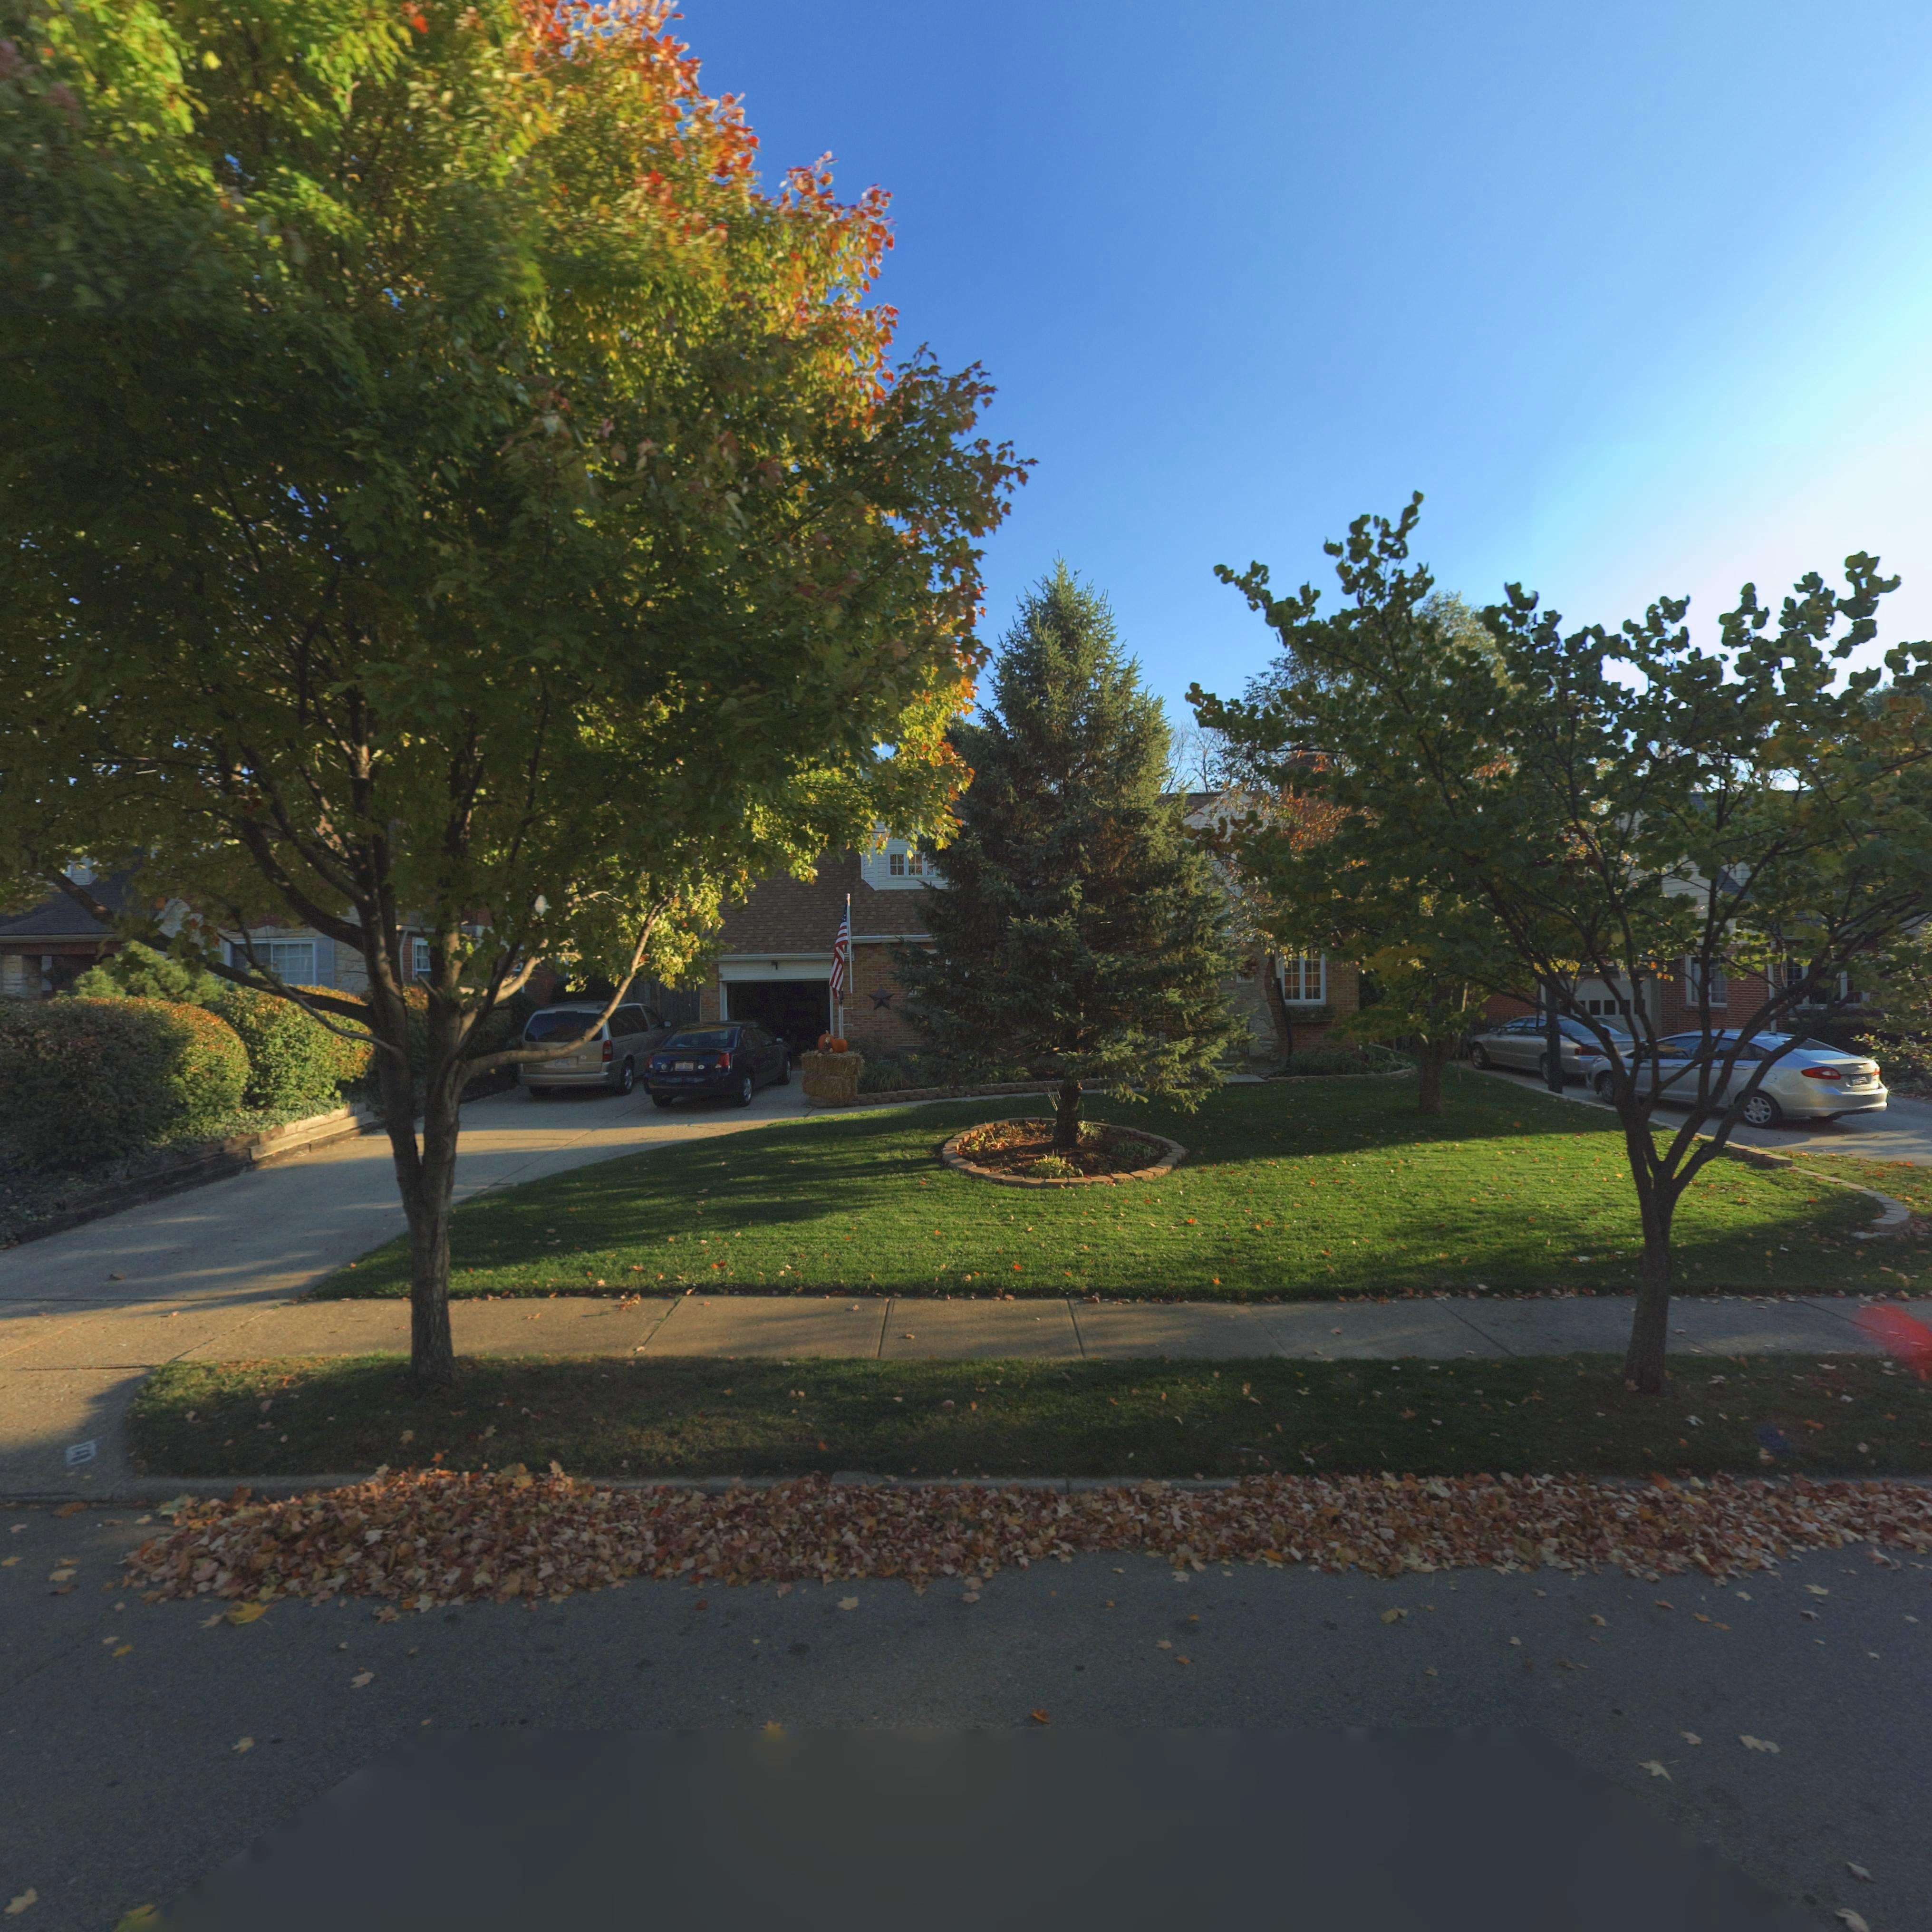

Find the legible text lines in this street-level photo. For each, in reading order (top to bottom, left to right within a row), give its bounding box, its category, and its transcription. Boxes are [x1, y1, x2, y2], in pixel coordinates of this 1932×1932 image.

[70, 1442, 92, 1465] StreetNumber: 148